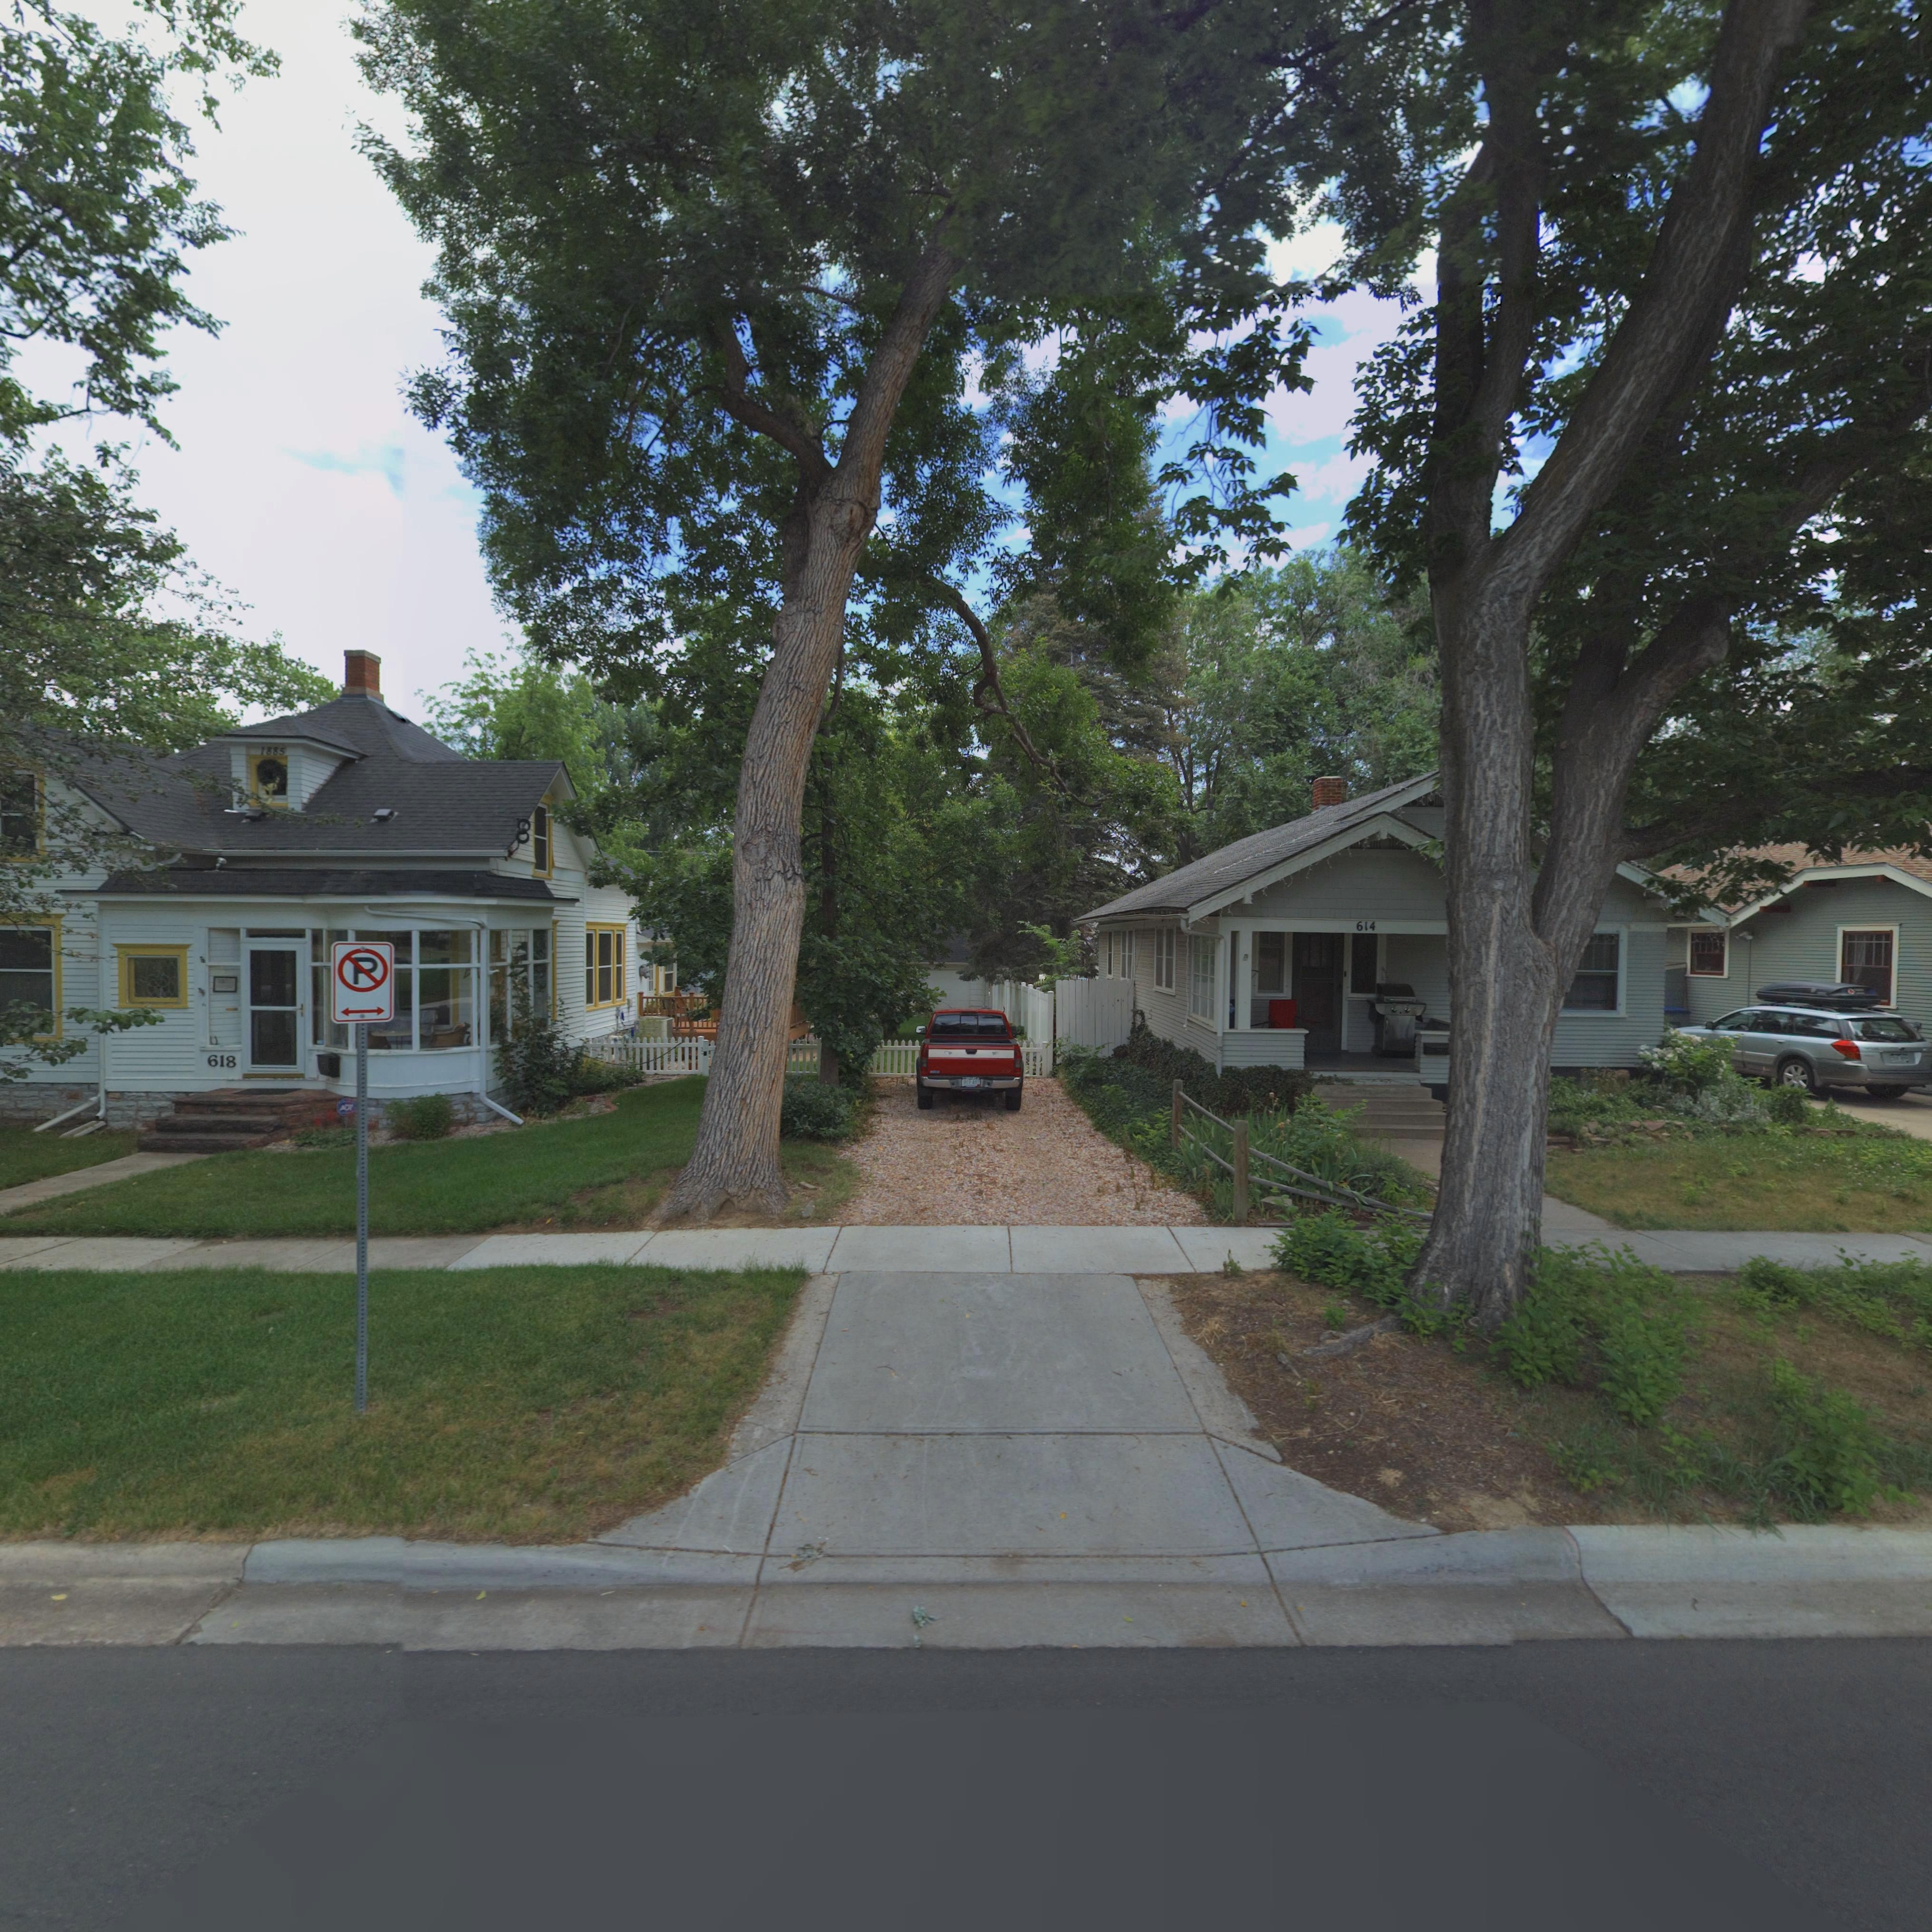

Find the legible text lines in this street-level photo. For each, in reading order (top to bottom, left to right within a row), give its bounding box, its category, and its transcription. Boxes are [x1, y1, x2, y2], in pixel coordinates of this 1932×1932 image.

[1355, 920, 1376, 931] StreetNumber: 614
[207, 1053, 237, 1068] StreetNumber: 618